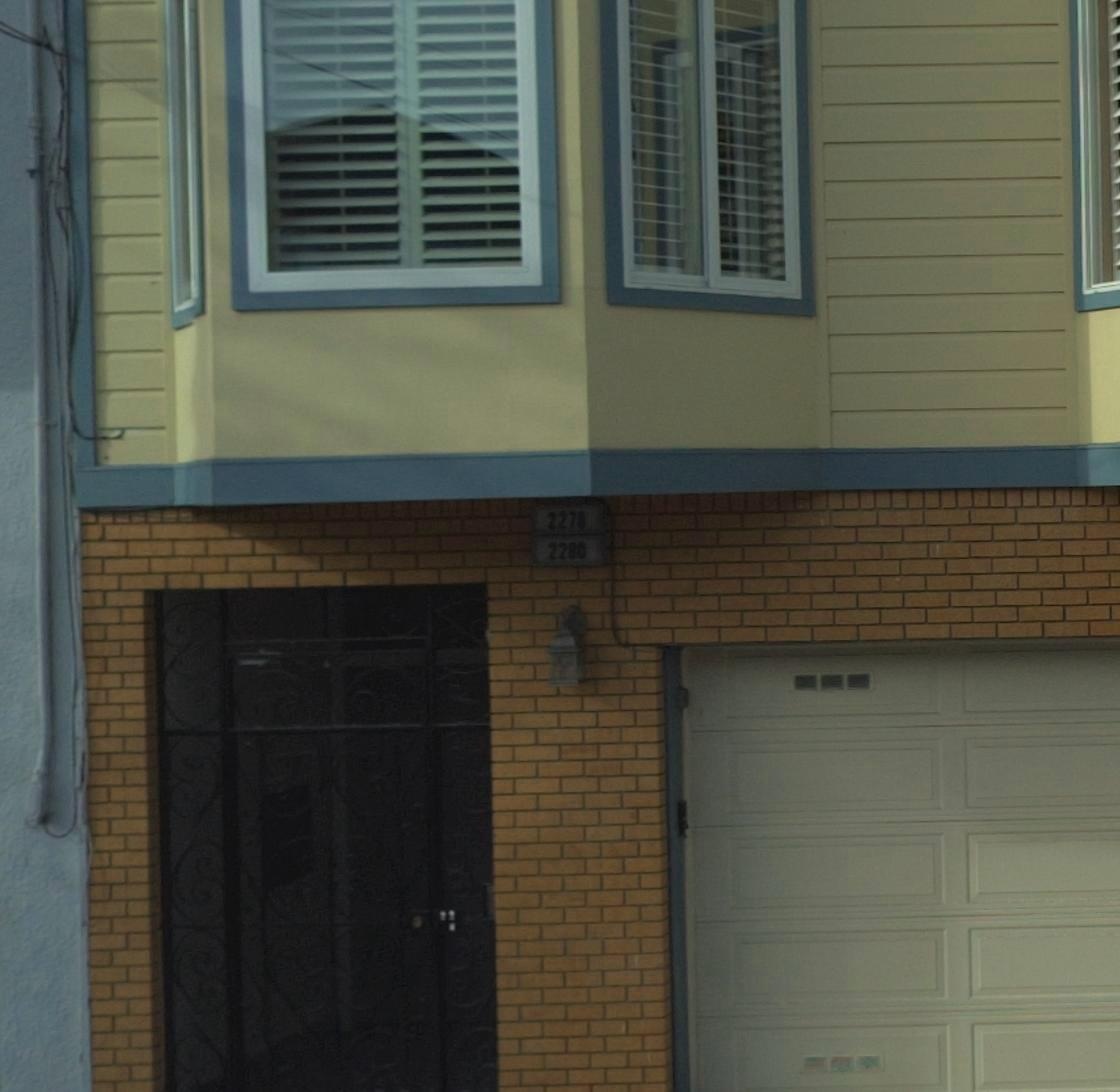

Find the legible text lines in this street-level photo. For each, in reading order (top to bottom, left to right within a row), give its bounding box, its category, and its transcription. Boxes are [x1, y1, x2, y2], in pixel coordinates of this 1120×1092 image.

[545, 508, 589, 534] StreetNumber: 2278
[545, 539, 589, 562] StreetNumber: 2280